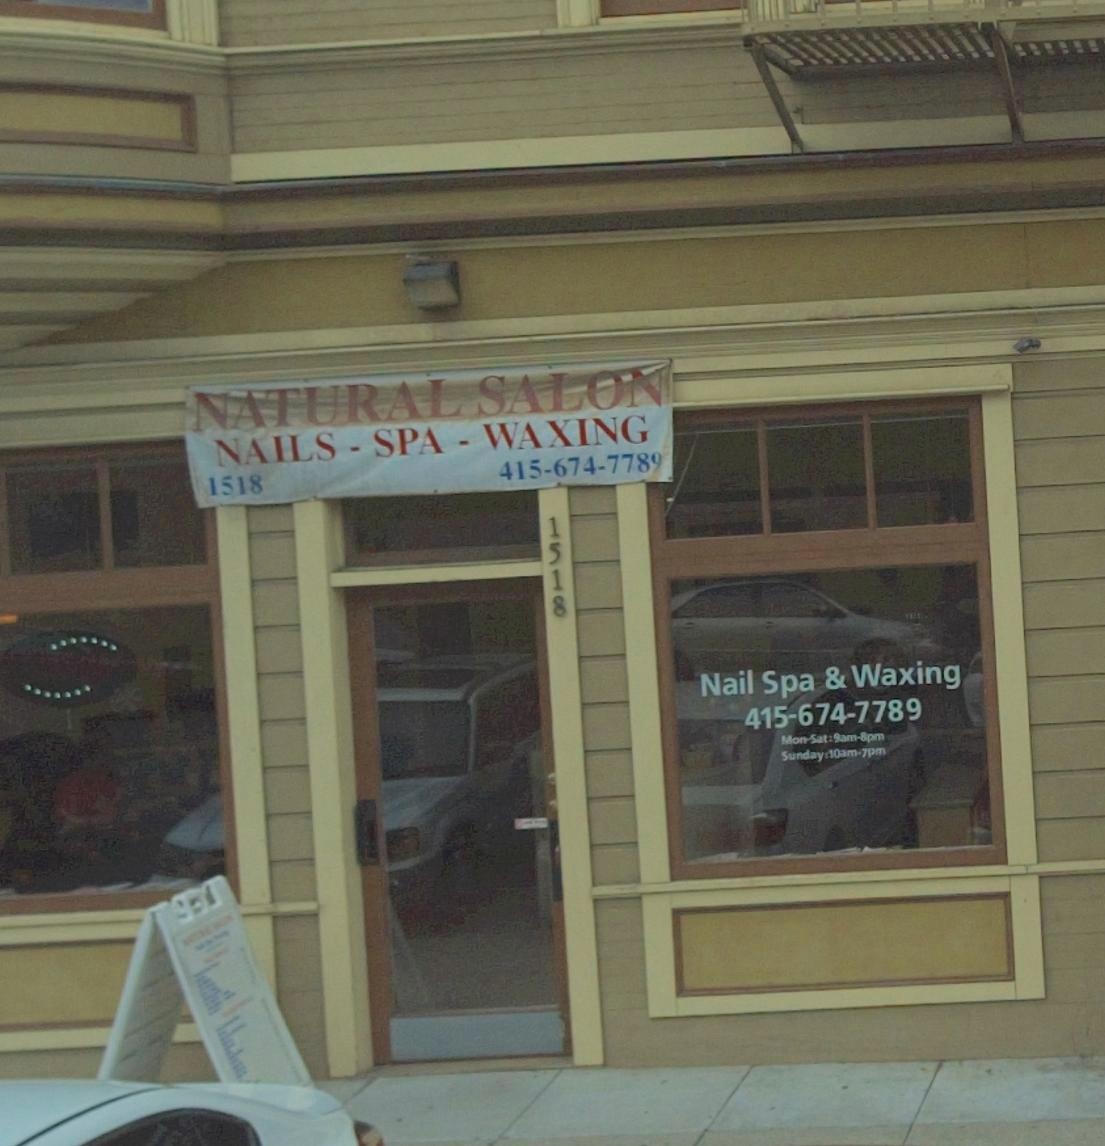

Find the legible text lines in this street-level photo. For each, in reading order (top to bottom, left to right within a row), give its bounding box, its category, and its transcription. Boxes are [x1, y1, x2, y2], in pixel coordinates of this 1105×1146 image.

[192, 367, 663, 434] BusinessName: NATURAL SALON
[213, 413, 649, 468] None: NAILS-SPA-WAXING
[498, 450, 662, 482] None: 415-674-7789
[207, 473, 265, 497] StreetNumber: 1518
[548, 516, 567, 619] StreetNumber: 1518
[700, 658, 962, 700] None: Nail Spa Waxing
[743, 696, 923, 731] None: 415-674-7789
[780, 730, 886, 746] None: Mon-Sat:9am-8pm
[780, 746, 887, 763] None: Sunday